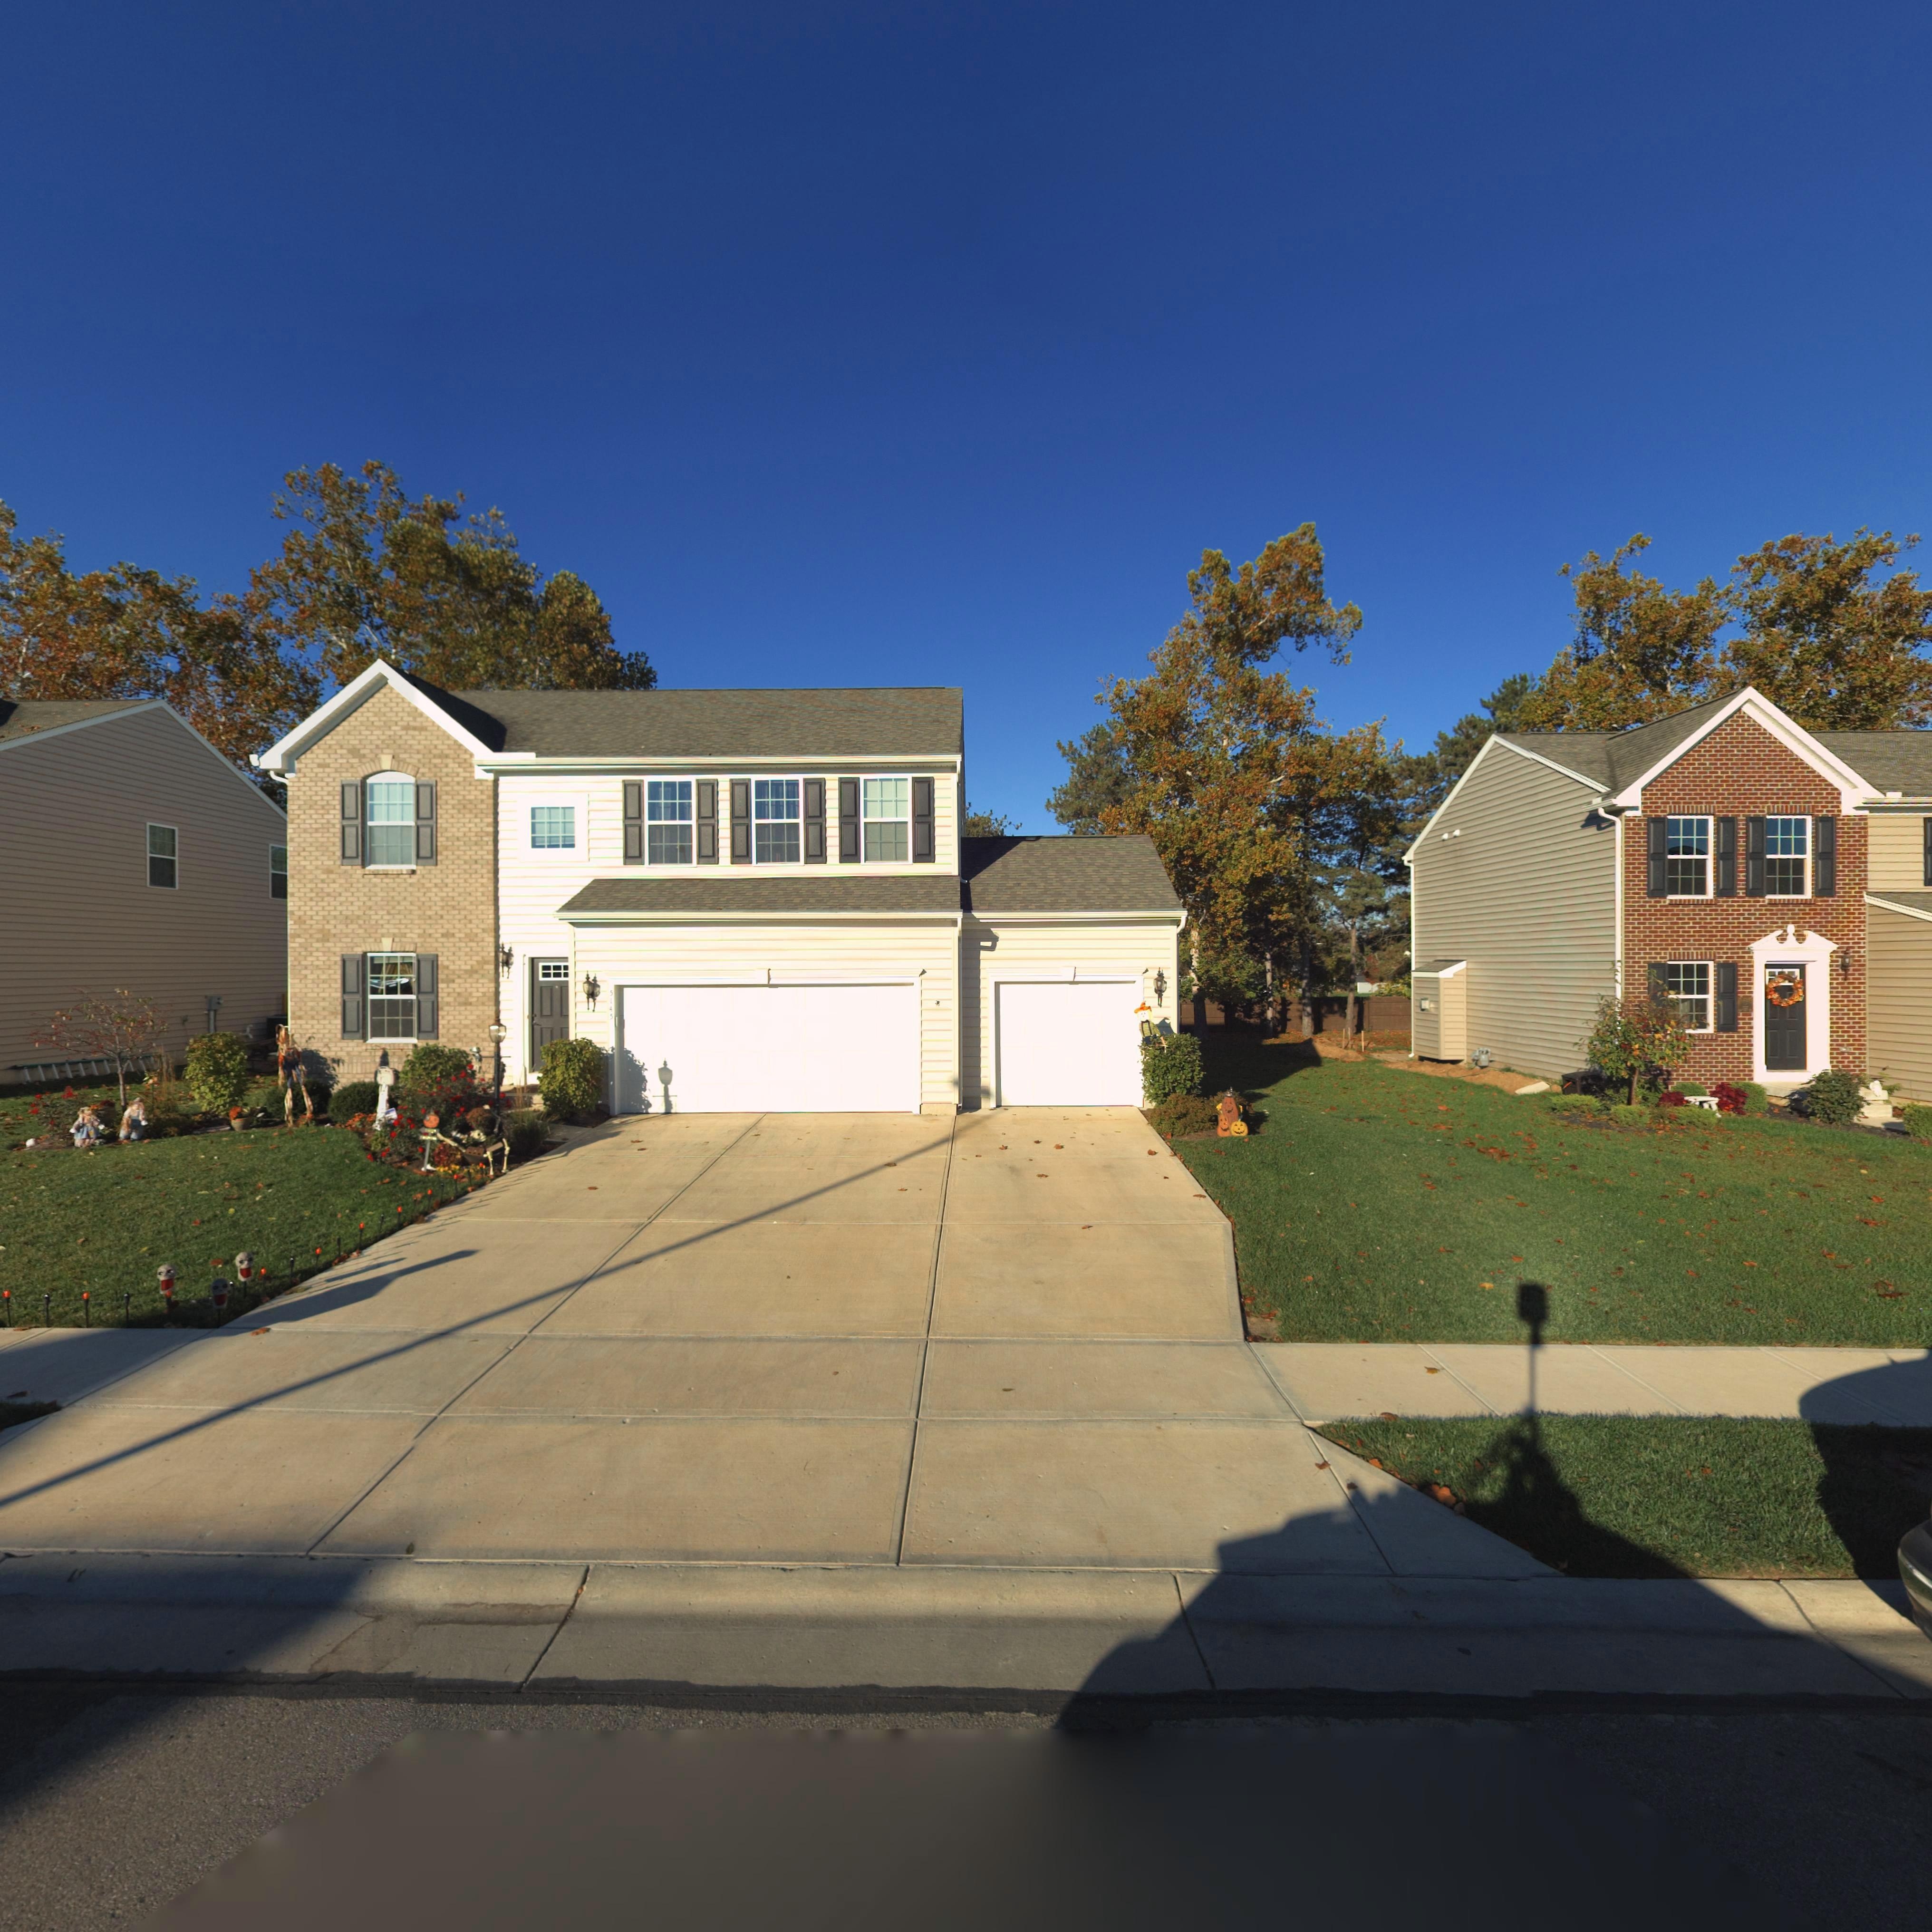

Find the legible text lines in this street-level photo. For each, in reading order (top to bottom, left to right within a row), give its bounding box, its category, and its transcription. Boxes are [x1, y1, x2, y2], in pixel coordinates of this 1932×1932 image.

[608, 989, 614, 1021] StreetNumber: 5145